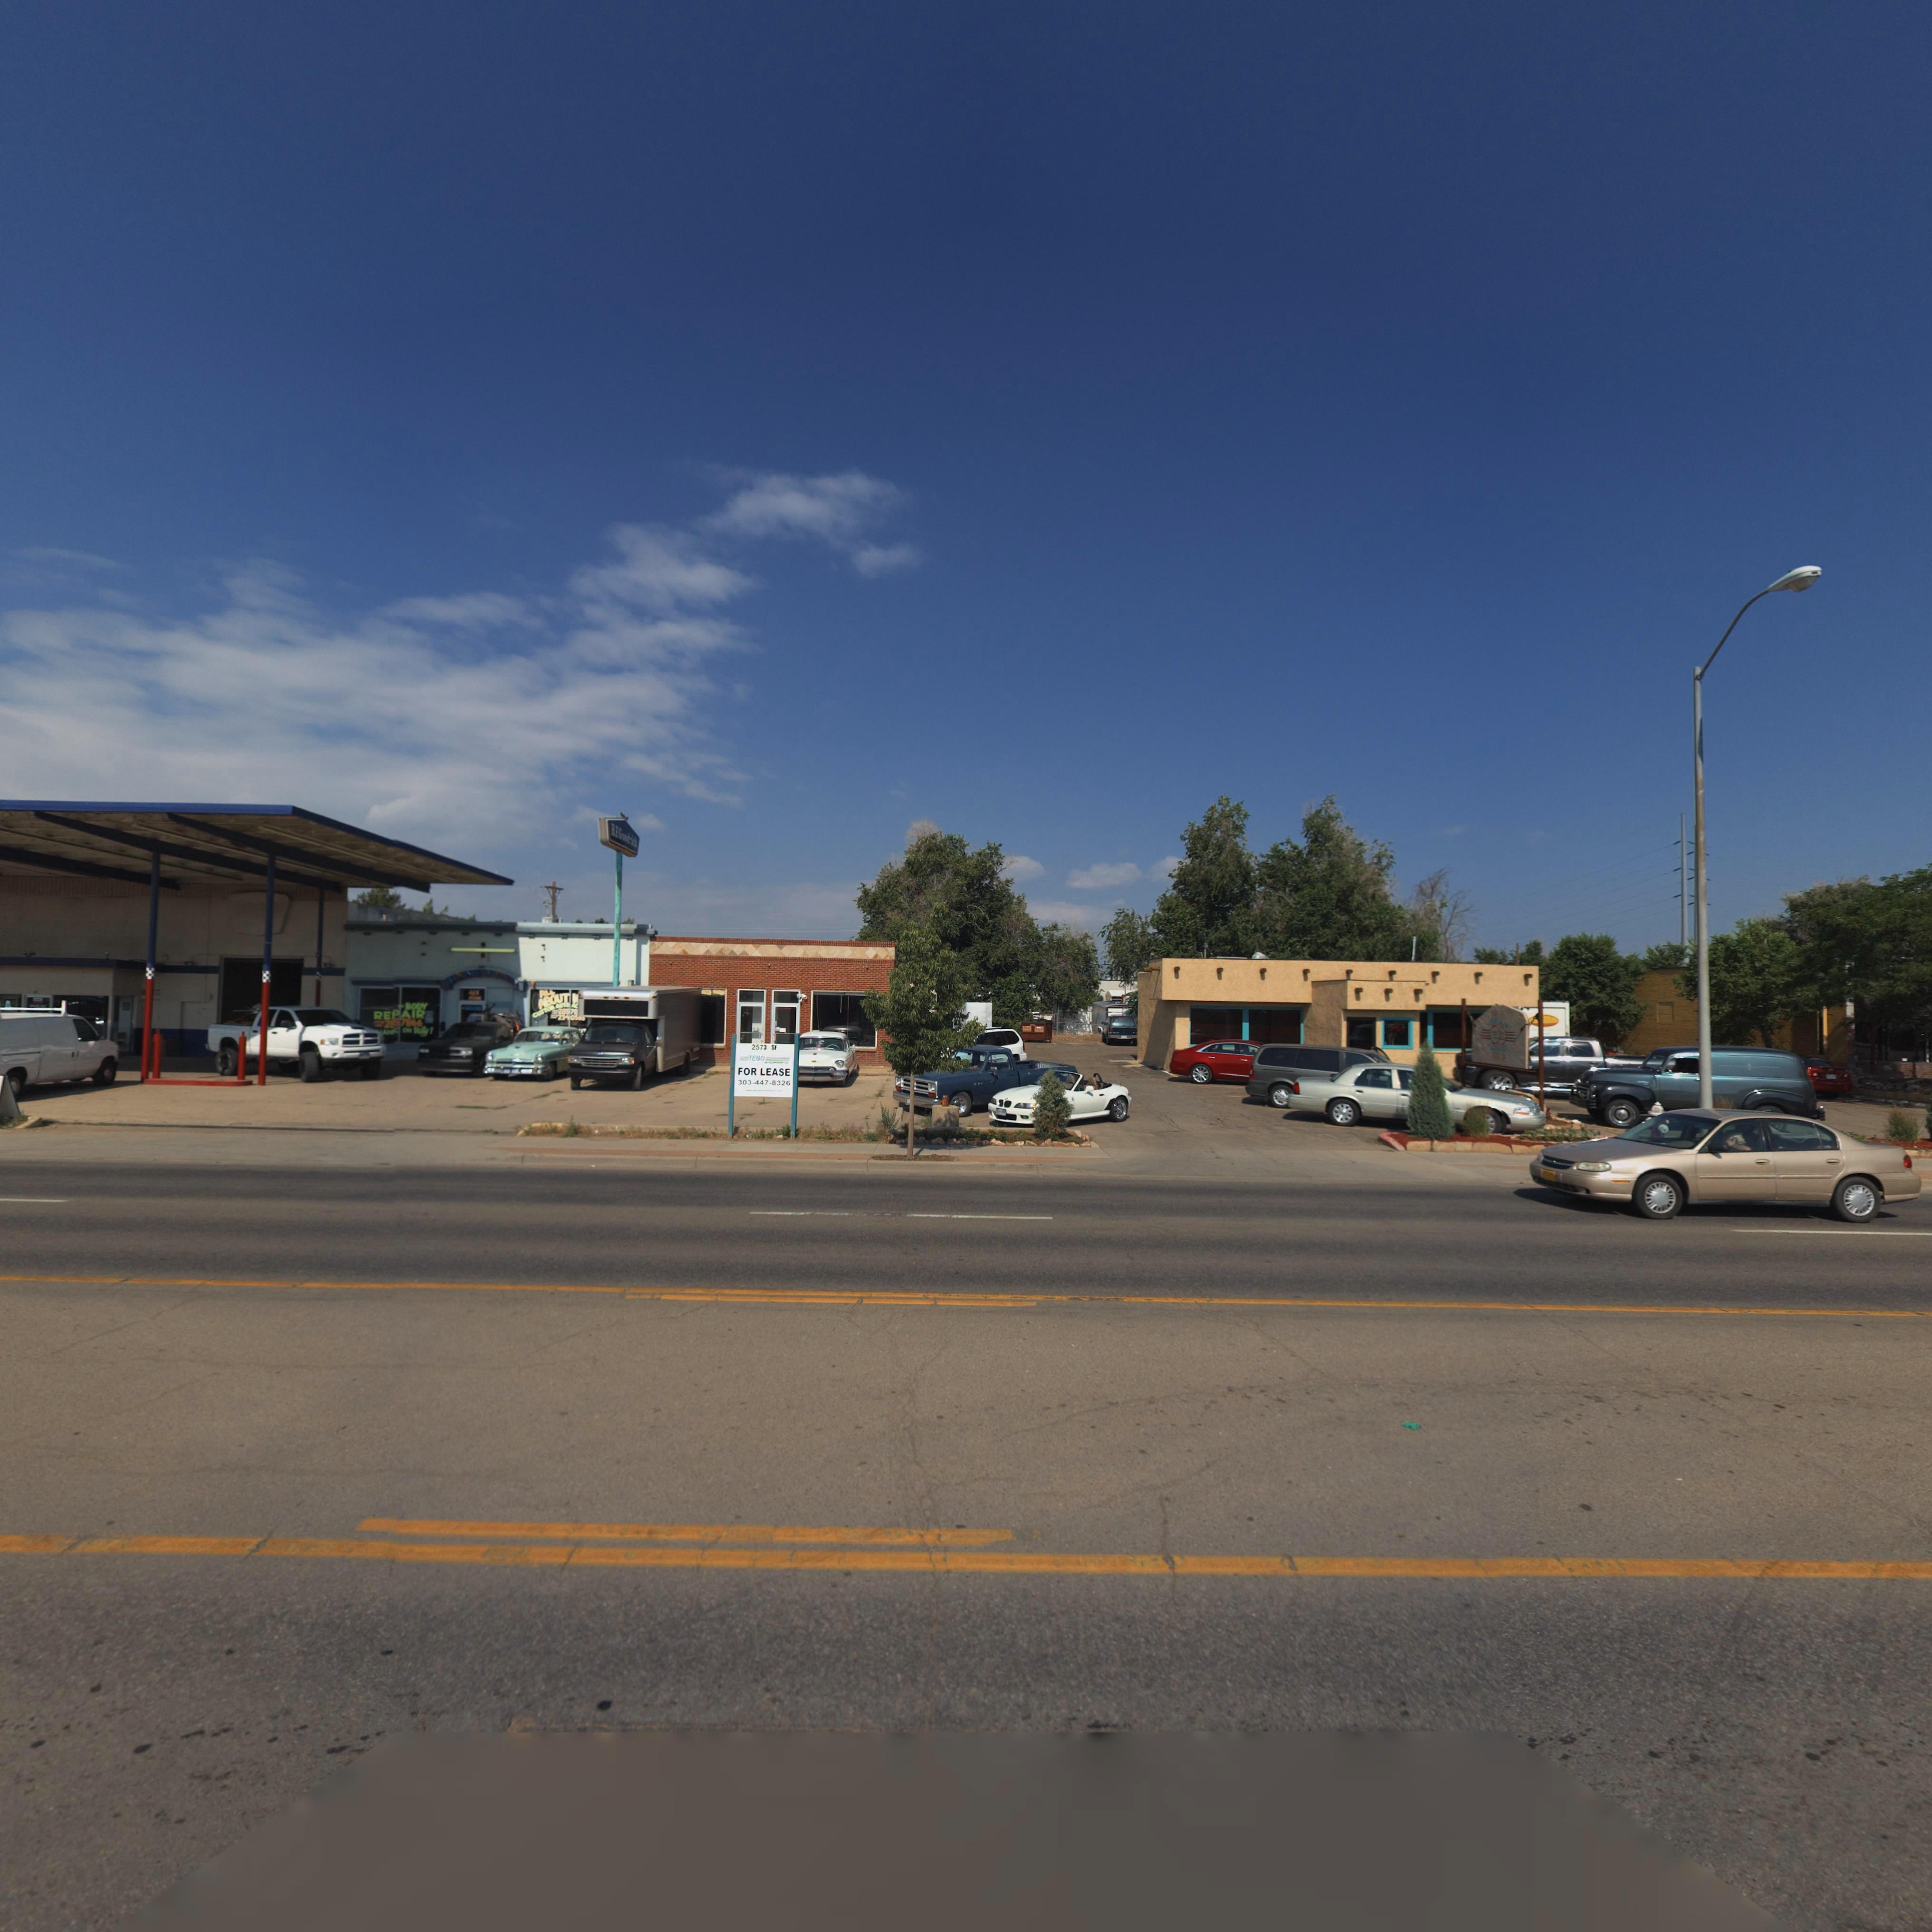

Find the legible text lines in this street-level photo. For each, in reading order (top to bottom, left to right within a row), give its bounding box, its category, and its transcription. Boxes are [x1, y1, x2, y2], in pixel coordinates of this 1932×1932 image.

[468, 990, 476, 996] StreetNumber: 41
[476, 989, 480, 995] StreetName: S
[539, 989, 555, 998] BusinessName: ALL
[468, 996, 481, 1000] StreetName: MAIN
[538, 992, 571, 1010] BusinessName: ABOUT